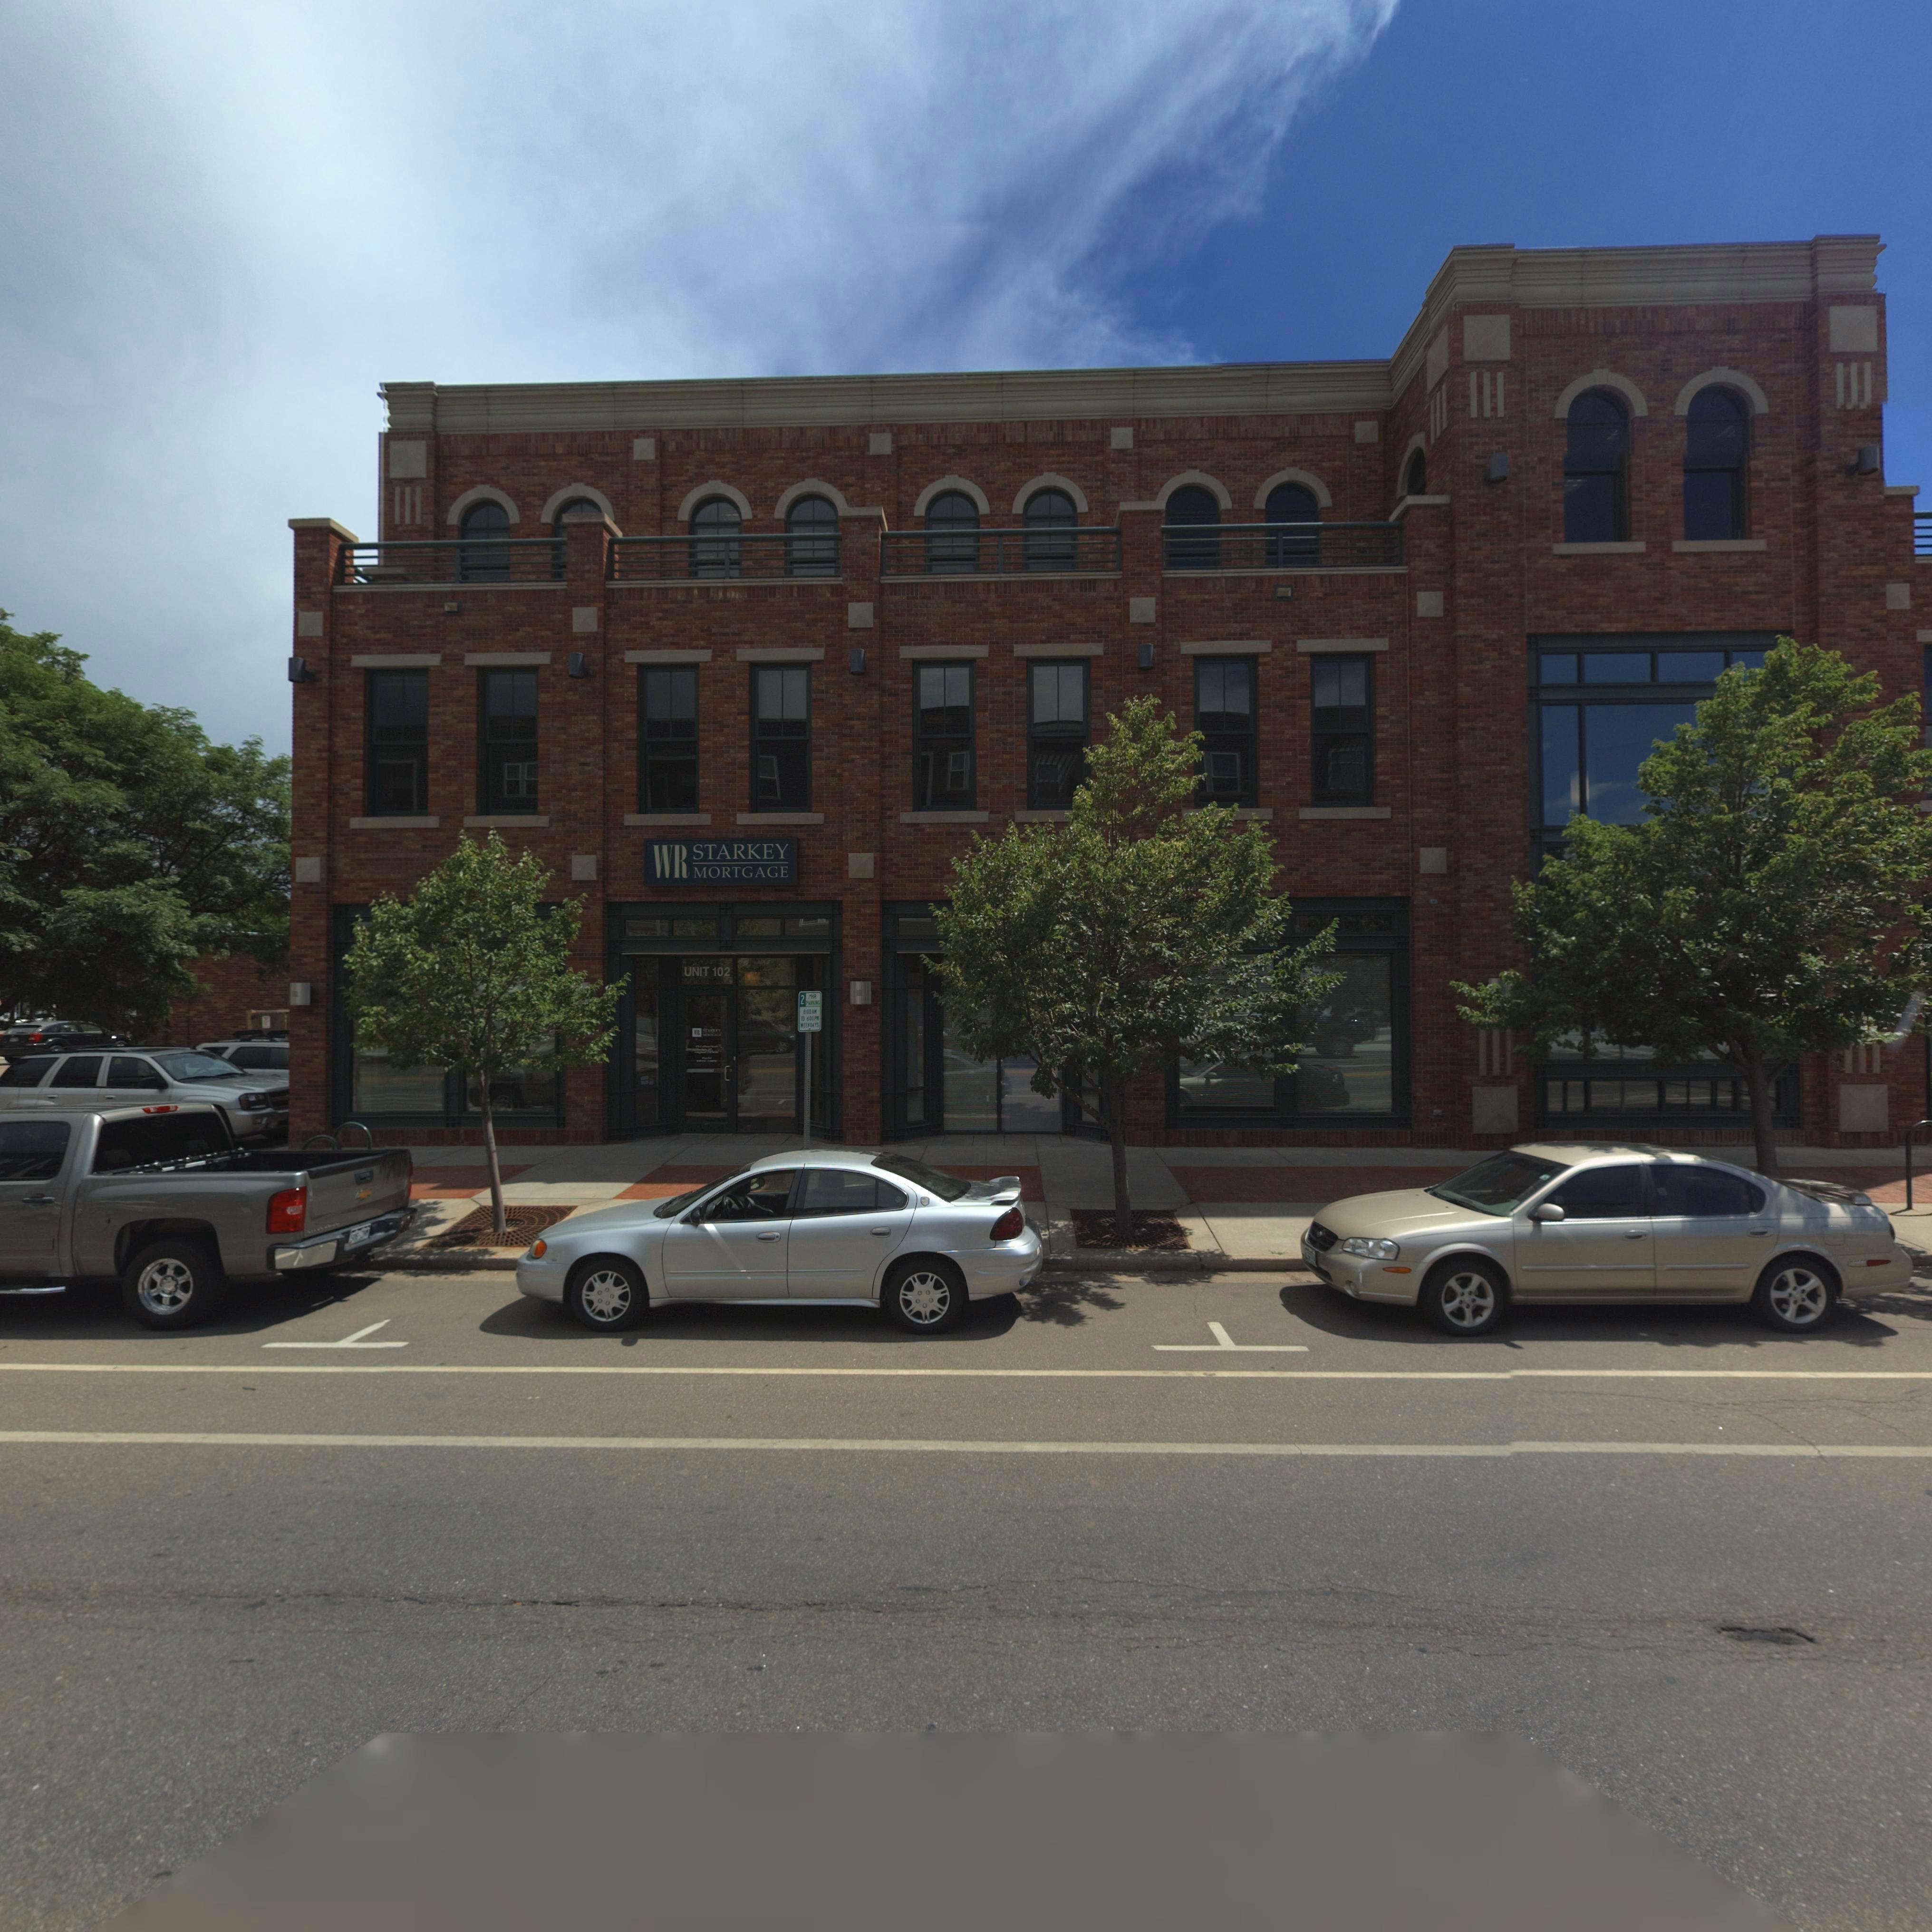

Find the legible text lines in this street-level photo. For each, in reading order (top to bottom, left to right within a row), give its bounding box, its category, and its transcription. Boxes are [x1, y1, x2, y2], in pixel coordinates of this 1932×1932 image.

[693, 843, 789, 860] BusinessName: STARKEY
[694, 865, 789, 878] BusinessName: MORTGAGE
[685, 966, 730, 976] SecondaryUnitDesignator: UNIT 102
[703, 1028, 721, 1032] BusinessName: S***KEY